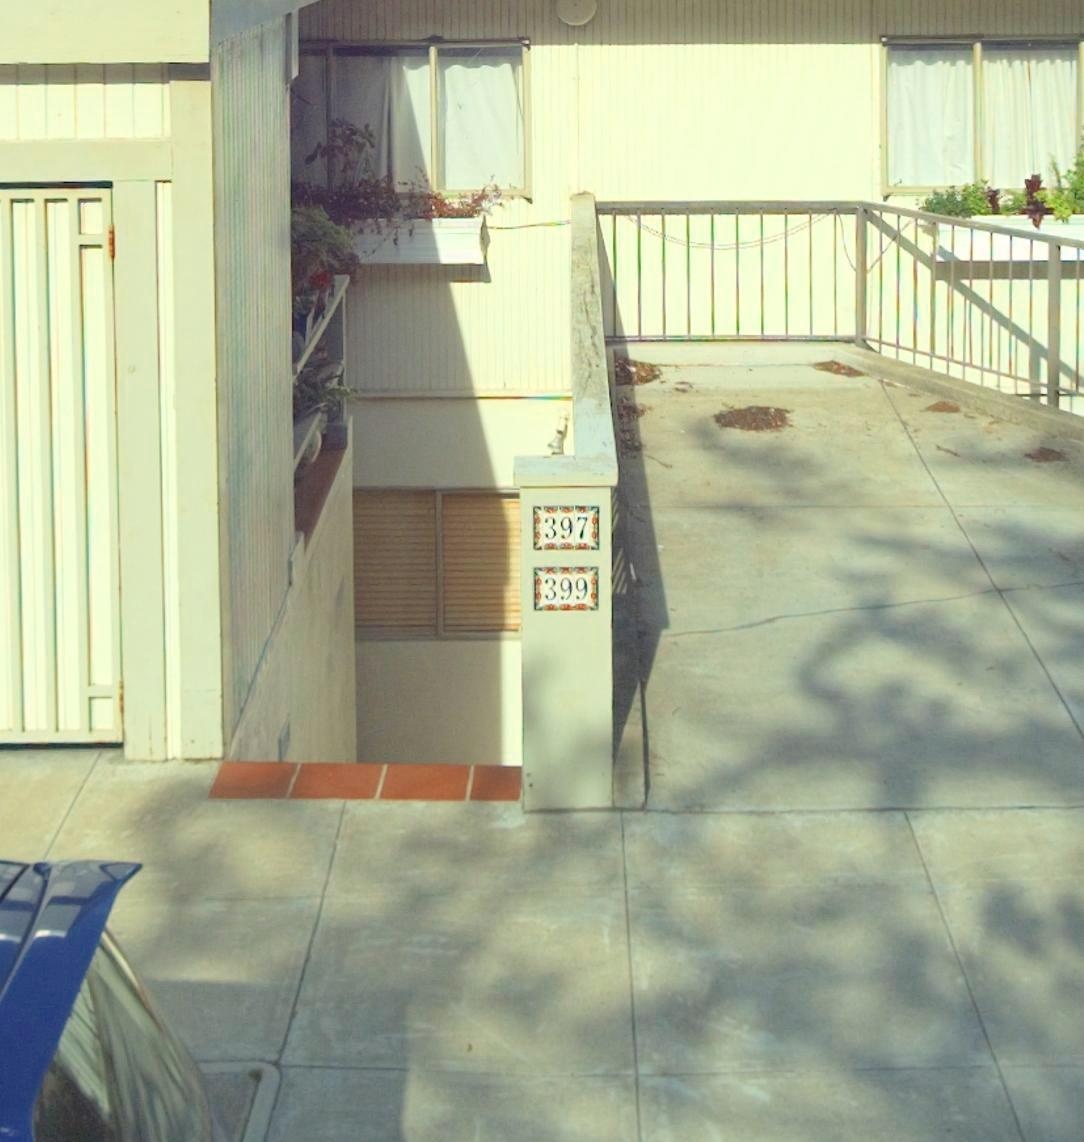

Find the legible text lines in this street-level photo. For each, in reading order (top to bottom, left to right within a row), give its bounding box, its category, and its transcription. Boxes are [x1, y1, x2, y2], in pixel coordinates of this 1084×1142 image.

[543, 514, 590, 541] StreetNumber: 397
[543, 576, 587, 600] StreetNumber: 399